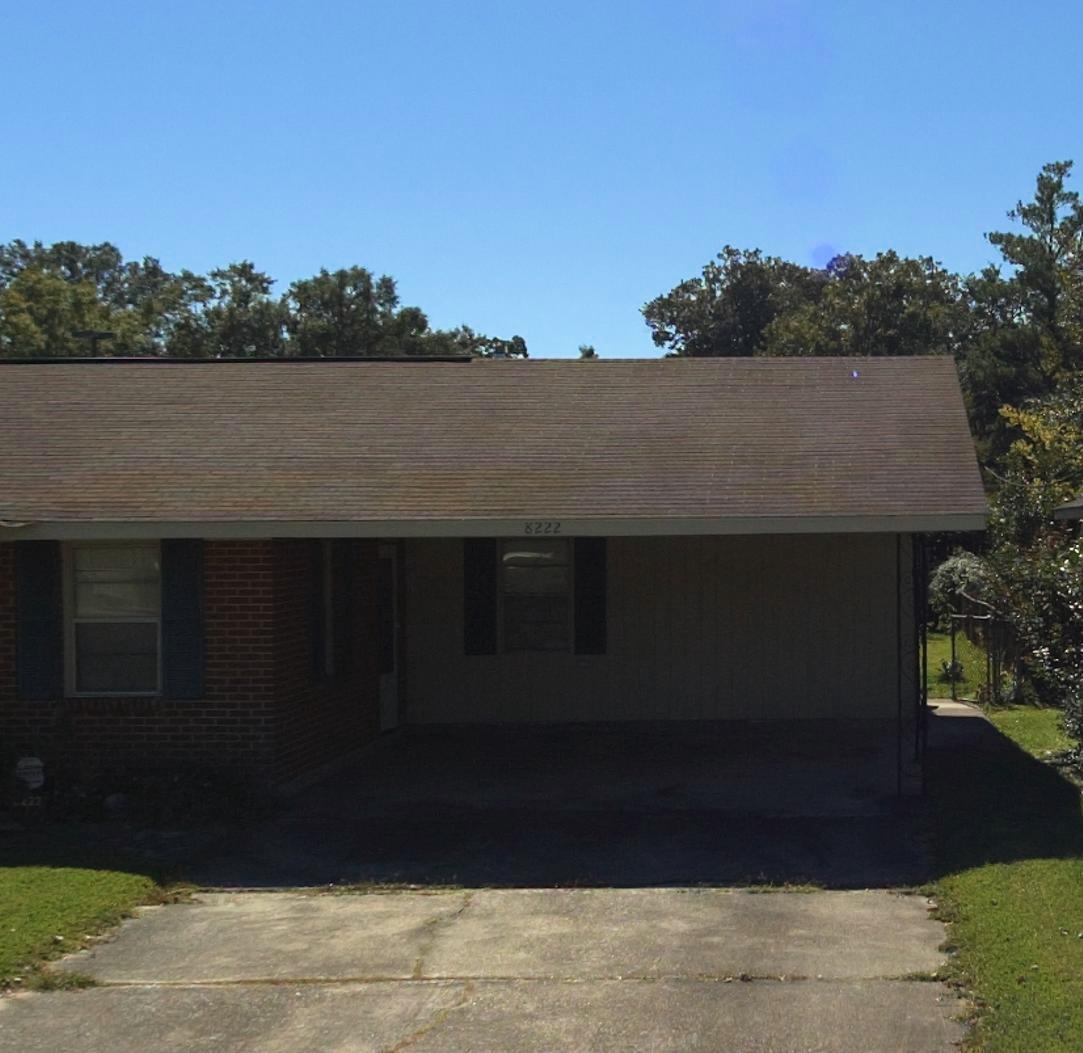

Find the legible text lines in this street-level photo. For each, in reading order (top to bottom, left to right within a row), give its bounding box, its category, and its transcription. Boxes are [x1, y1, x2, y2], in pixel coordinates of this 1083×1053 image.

[522, 520, 564, 536] StreetNumber: *222
[27, 794, 43, 809] StreetNumber: 22